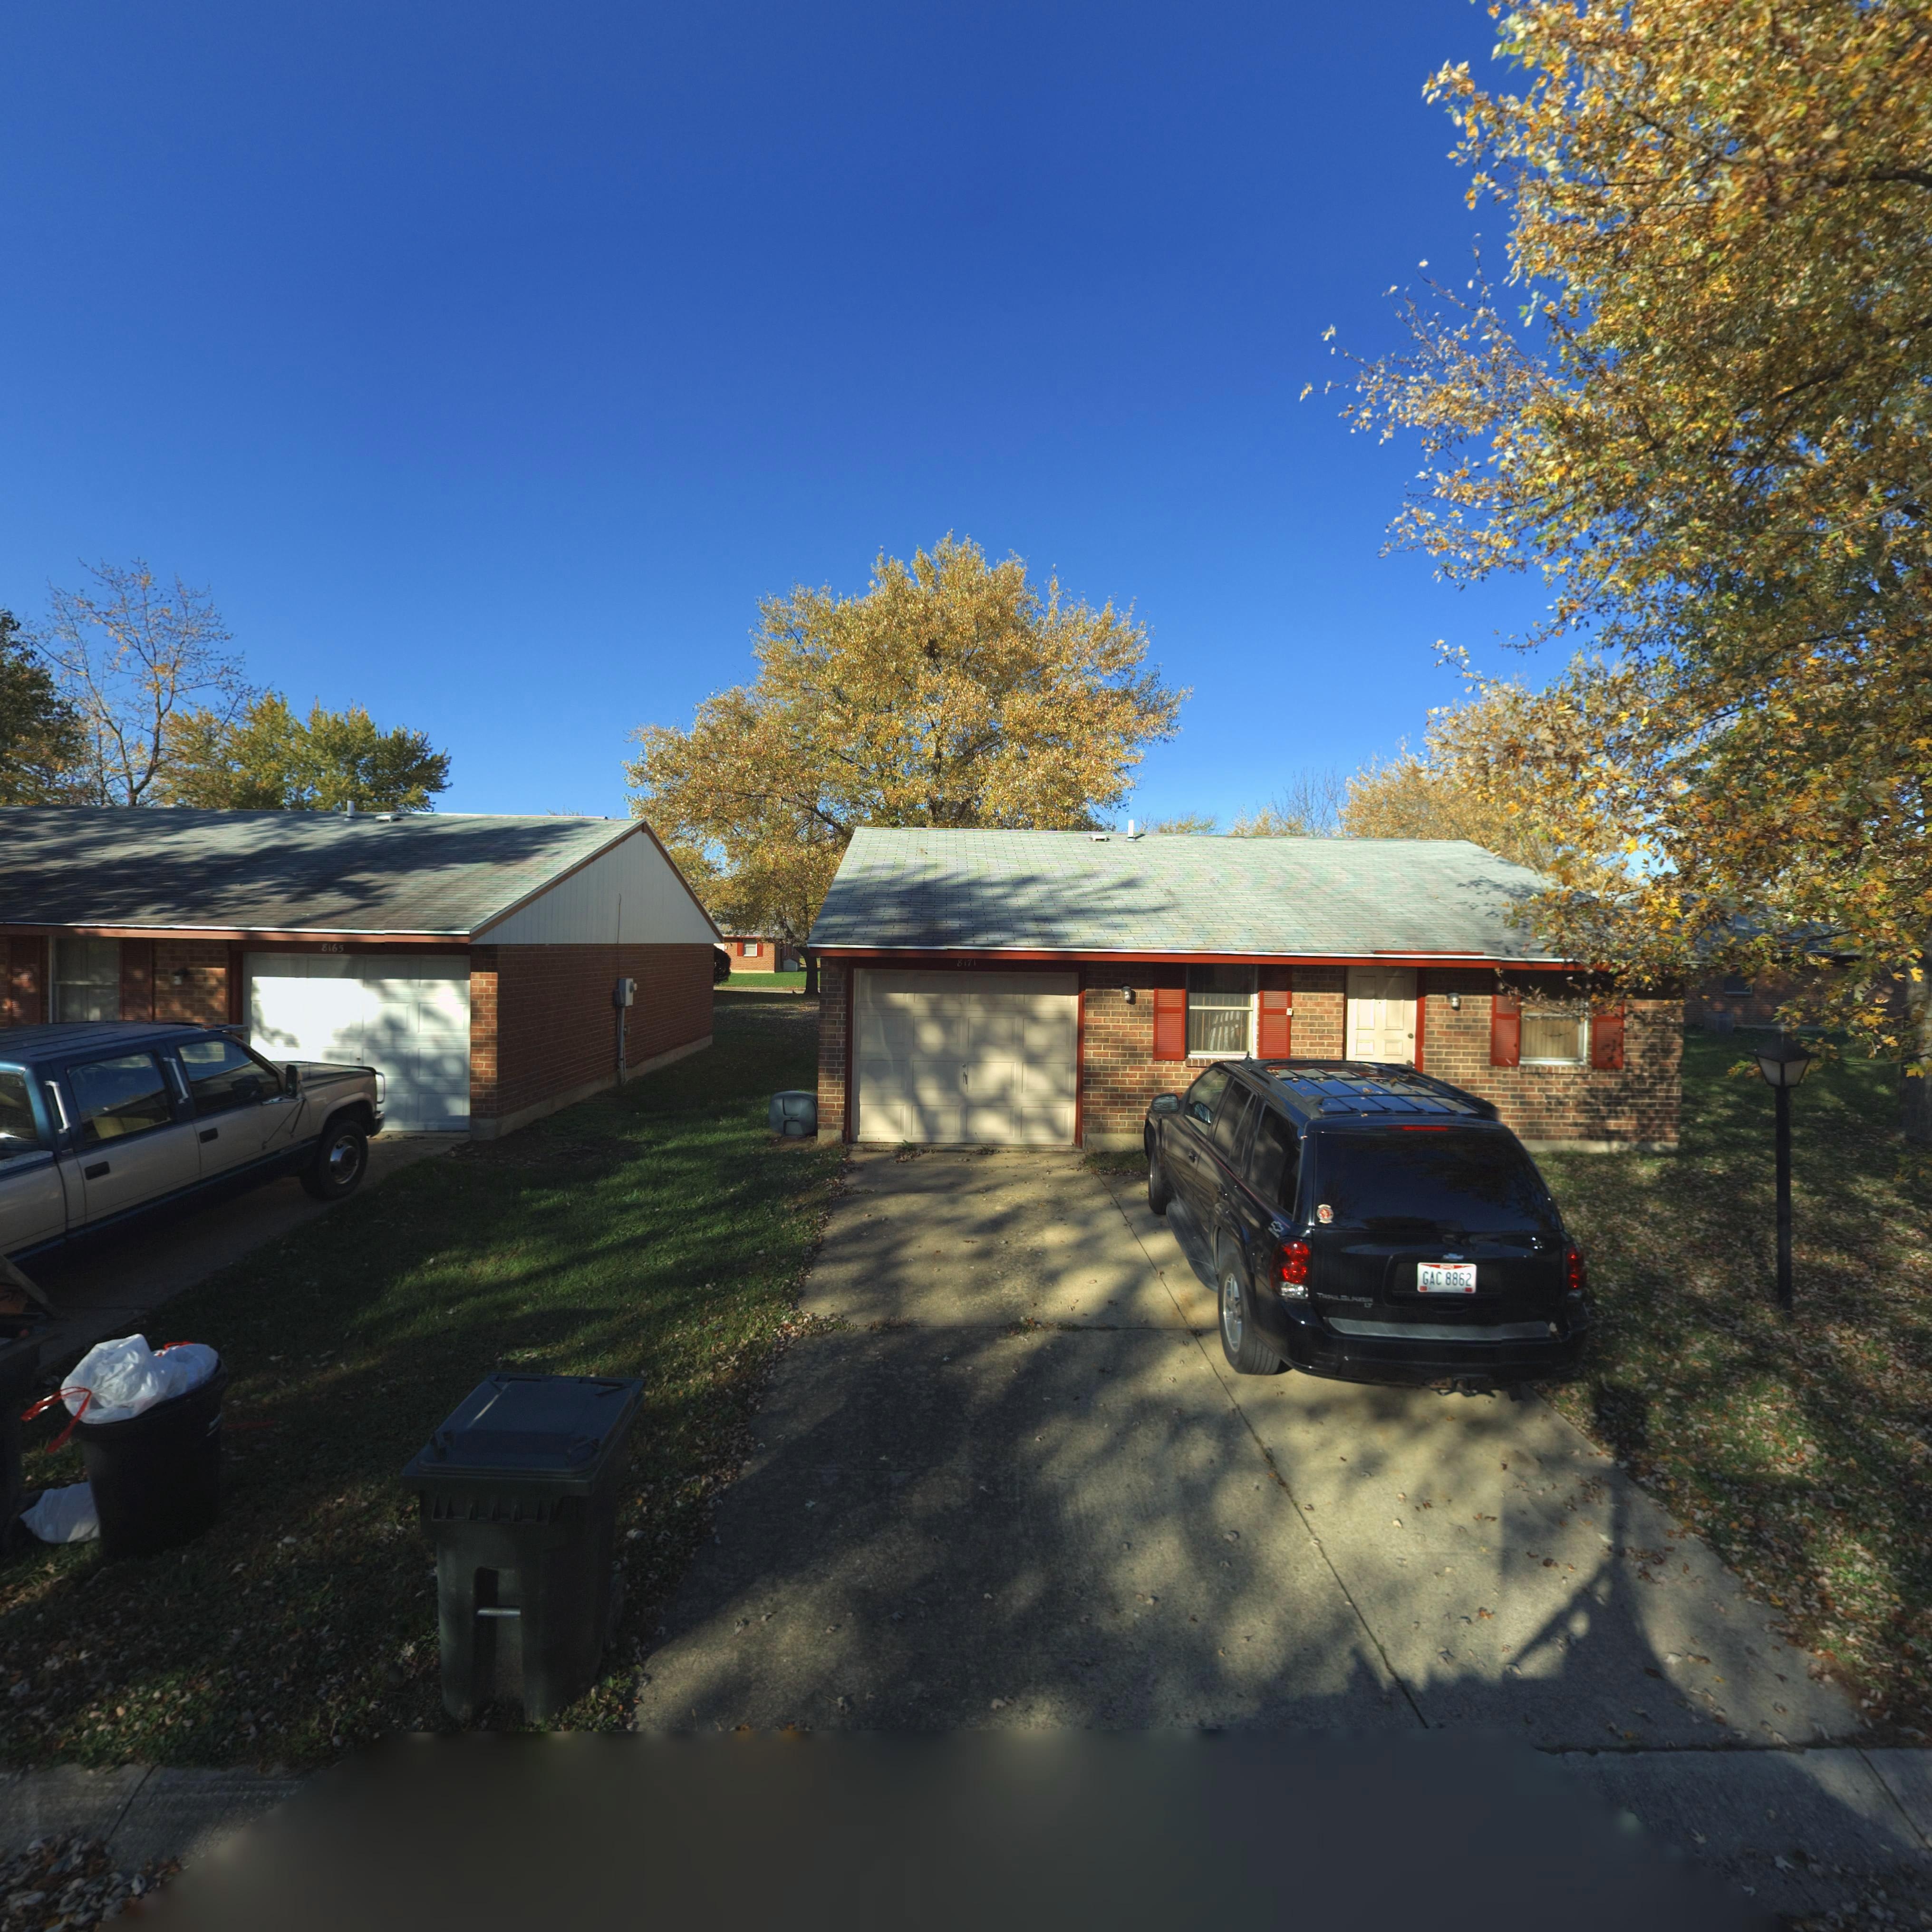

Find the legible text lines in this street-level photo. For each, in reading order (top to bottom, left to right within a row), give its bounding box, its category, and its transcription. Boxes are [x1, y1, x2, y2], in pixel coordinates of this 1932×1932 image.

[320, 942, 345, 954] StreetNumber: 8165
[956, 958, 977, 969] StreetNumber: 8171